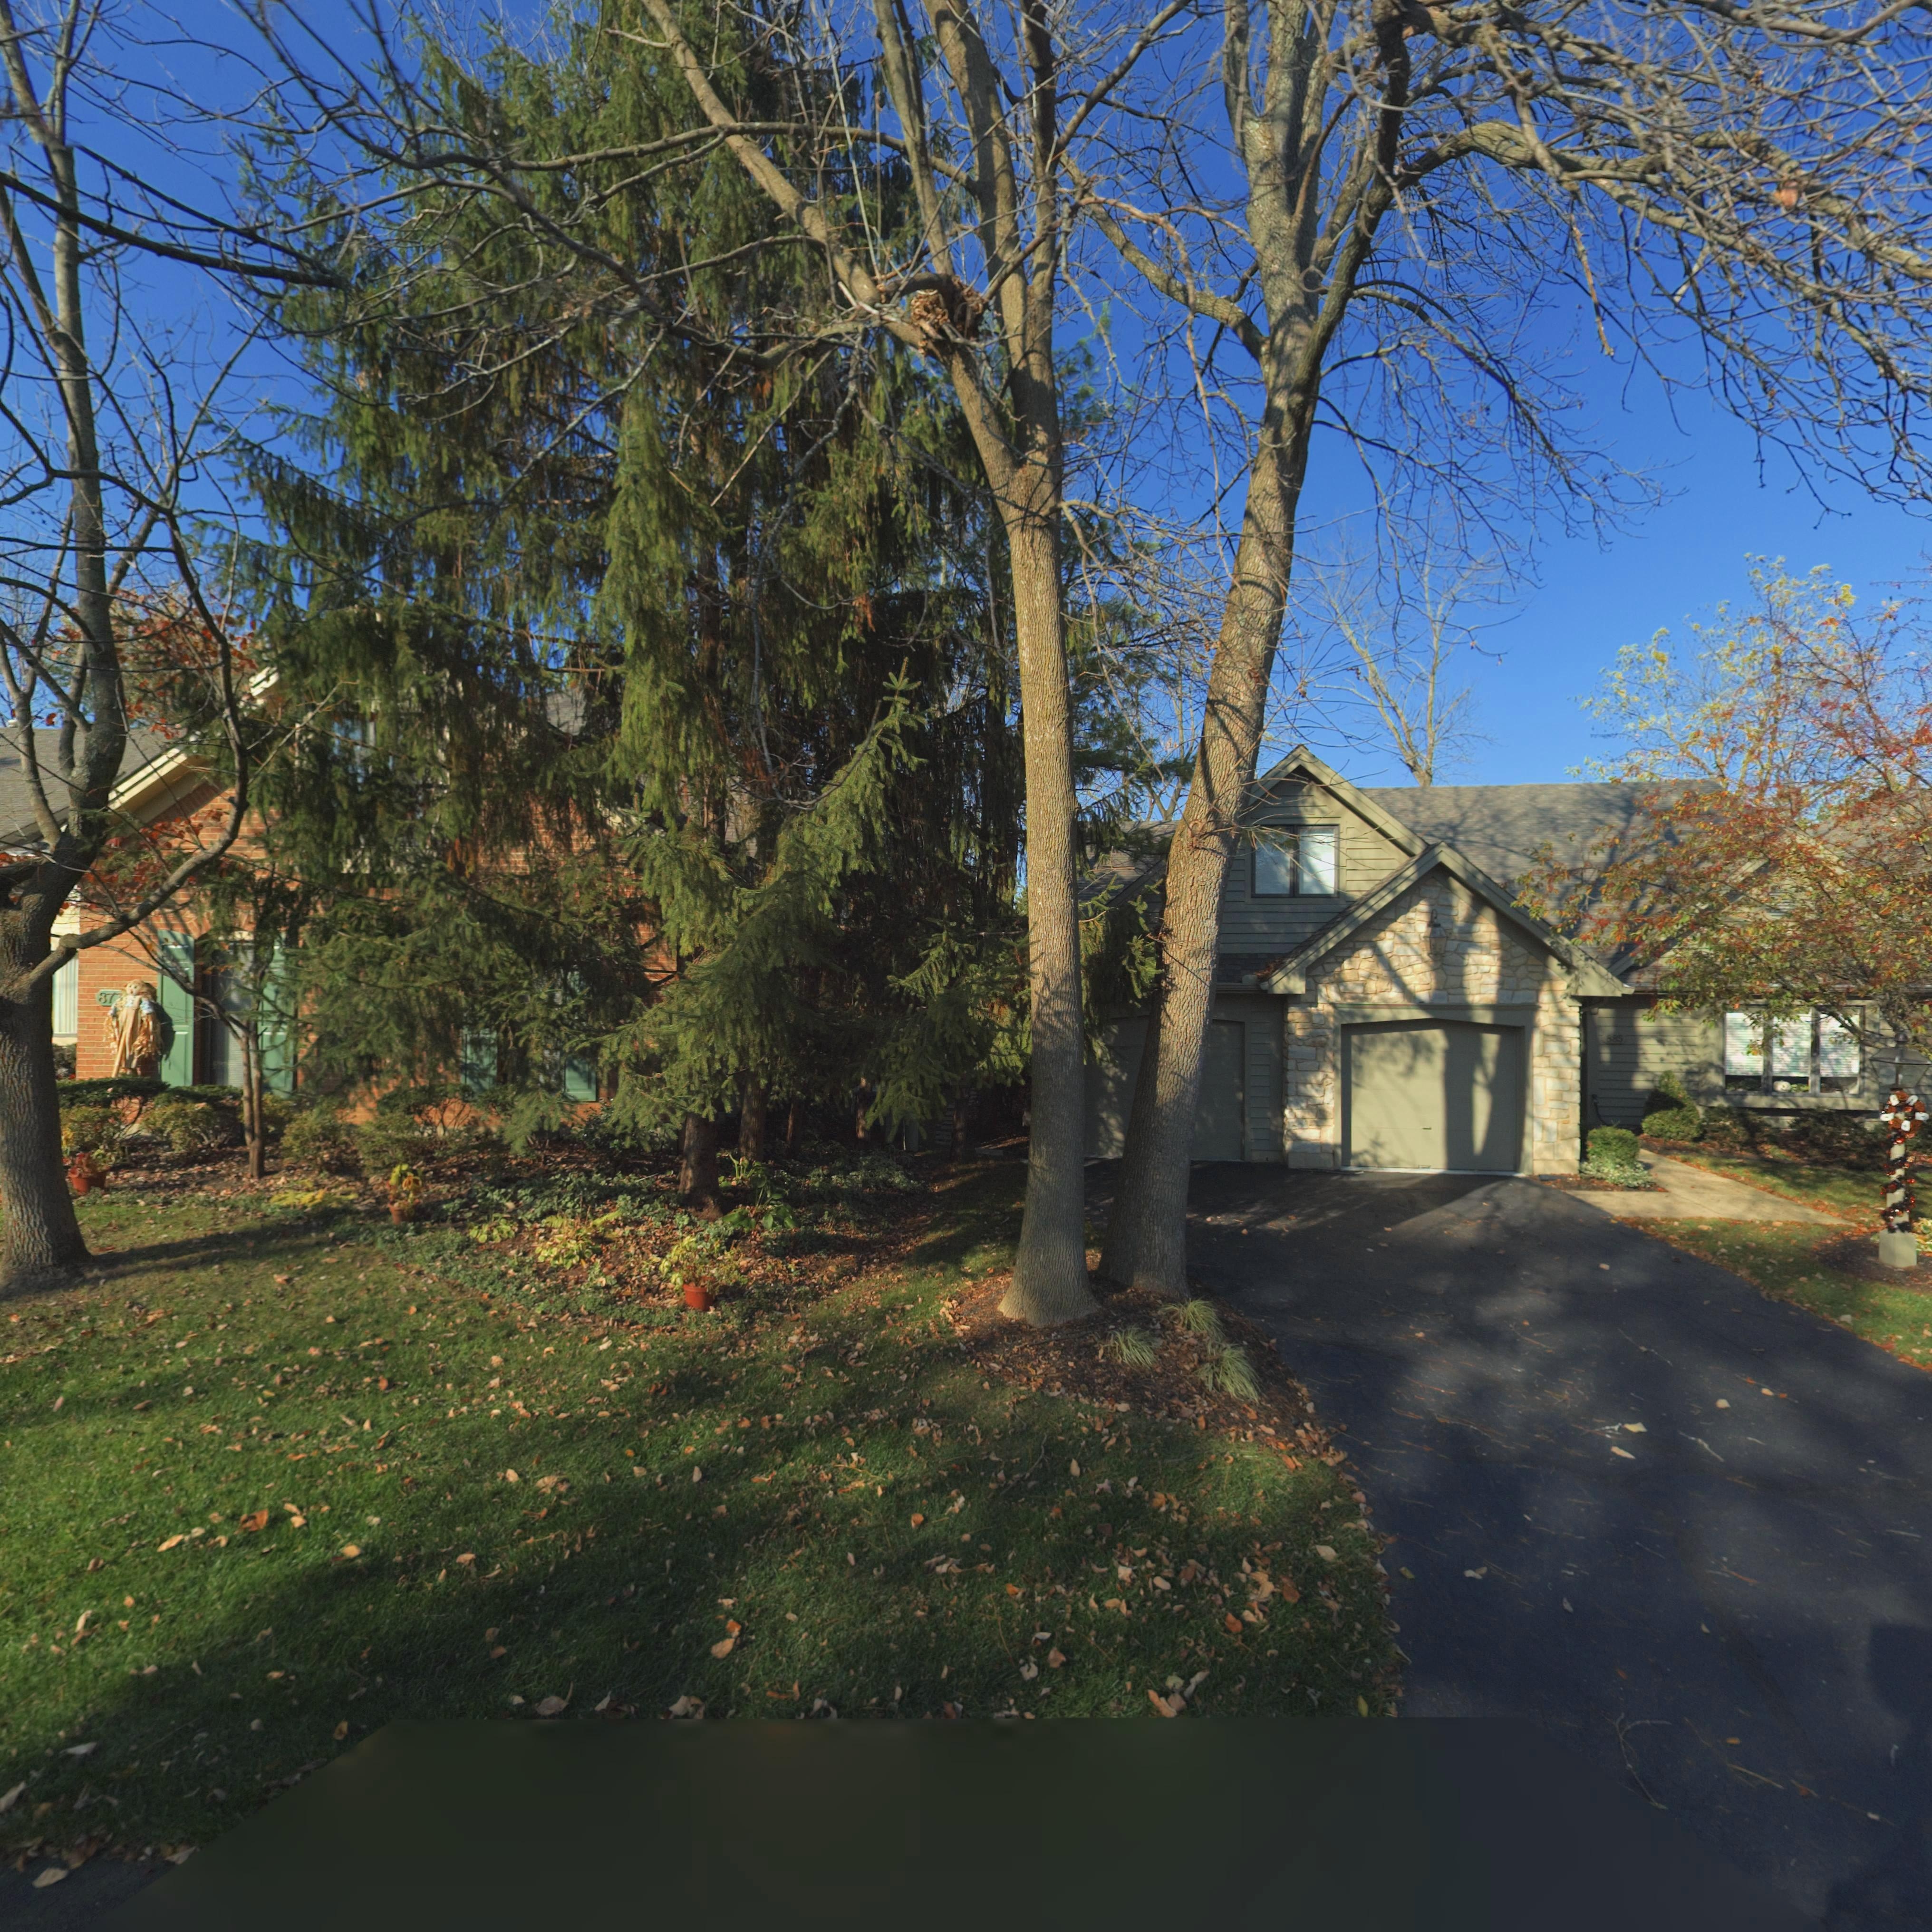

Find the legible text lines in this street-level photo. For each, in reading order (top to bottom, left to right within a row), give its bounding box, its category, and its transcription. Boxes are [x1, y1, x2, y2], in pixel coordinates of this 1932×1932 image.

[1606, 1034, 1623, 1043] StreetNumber: 885